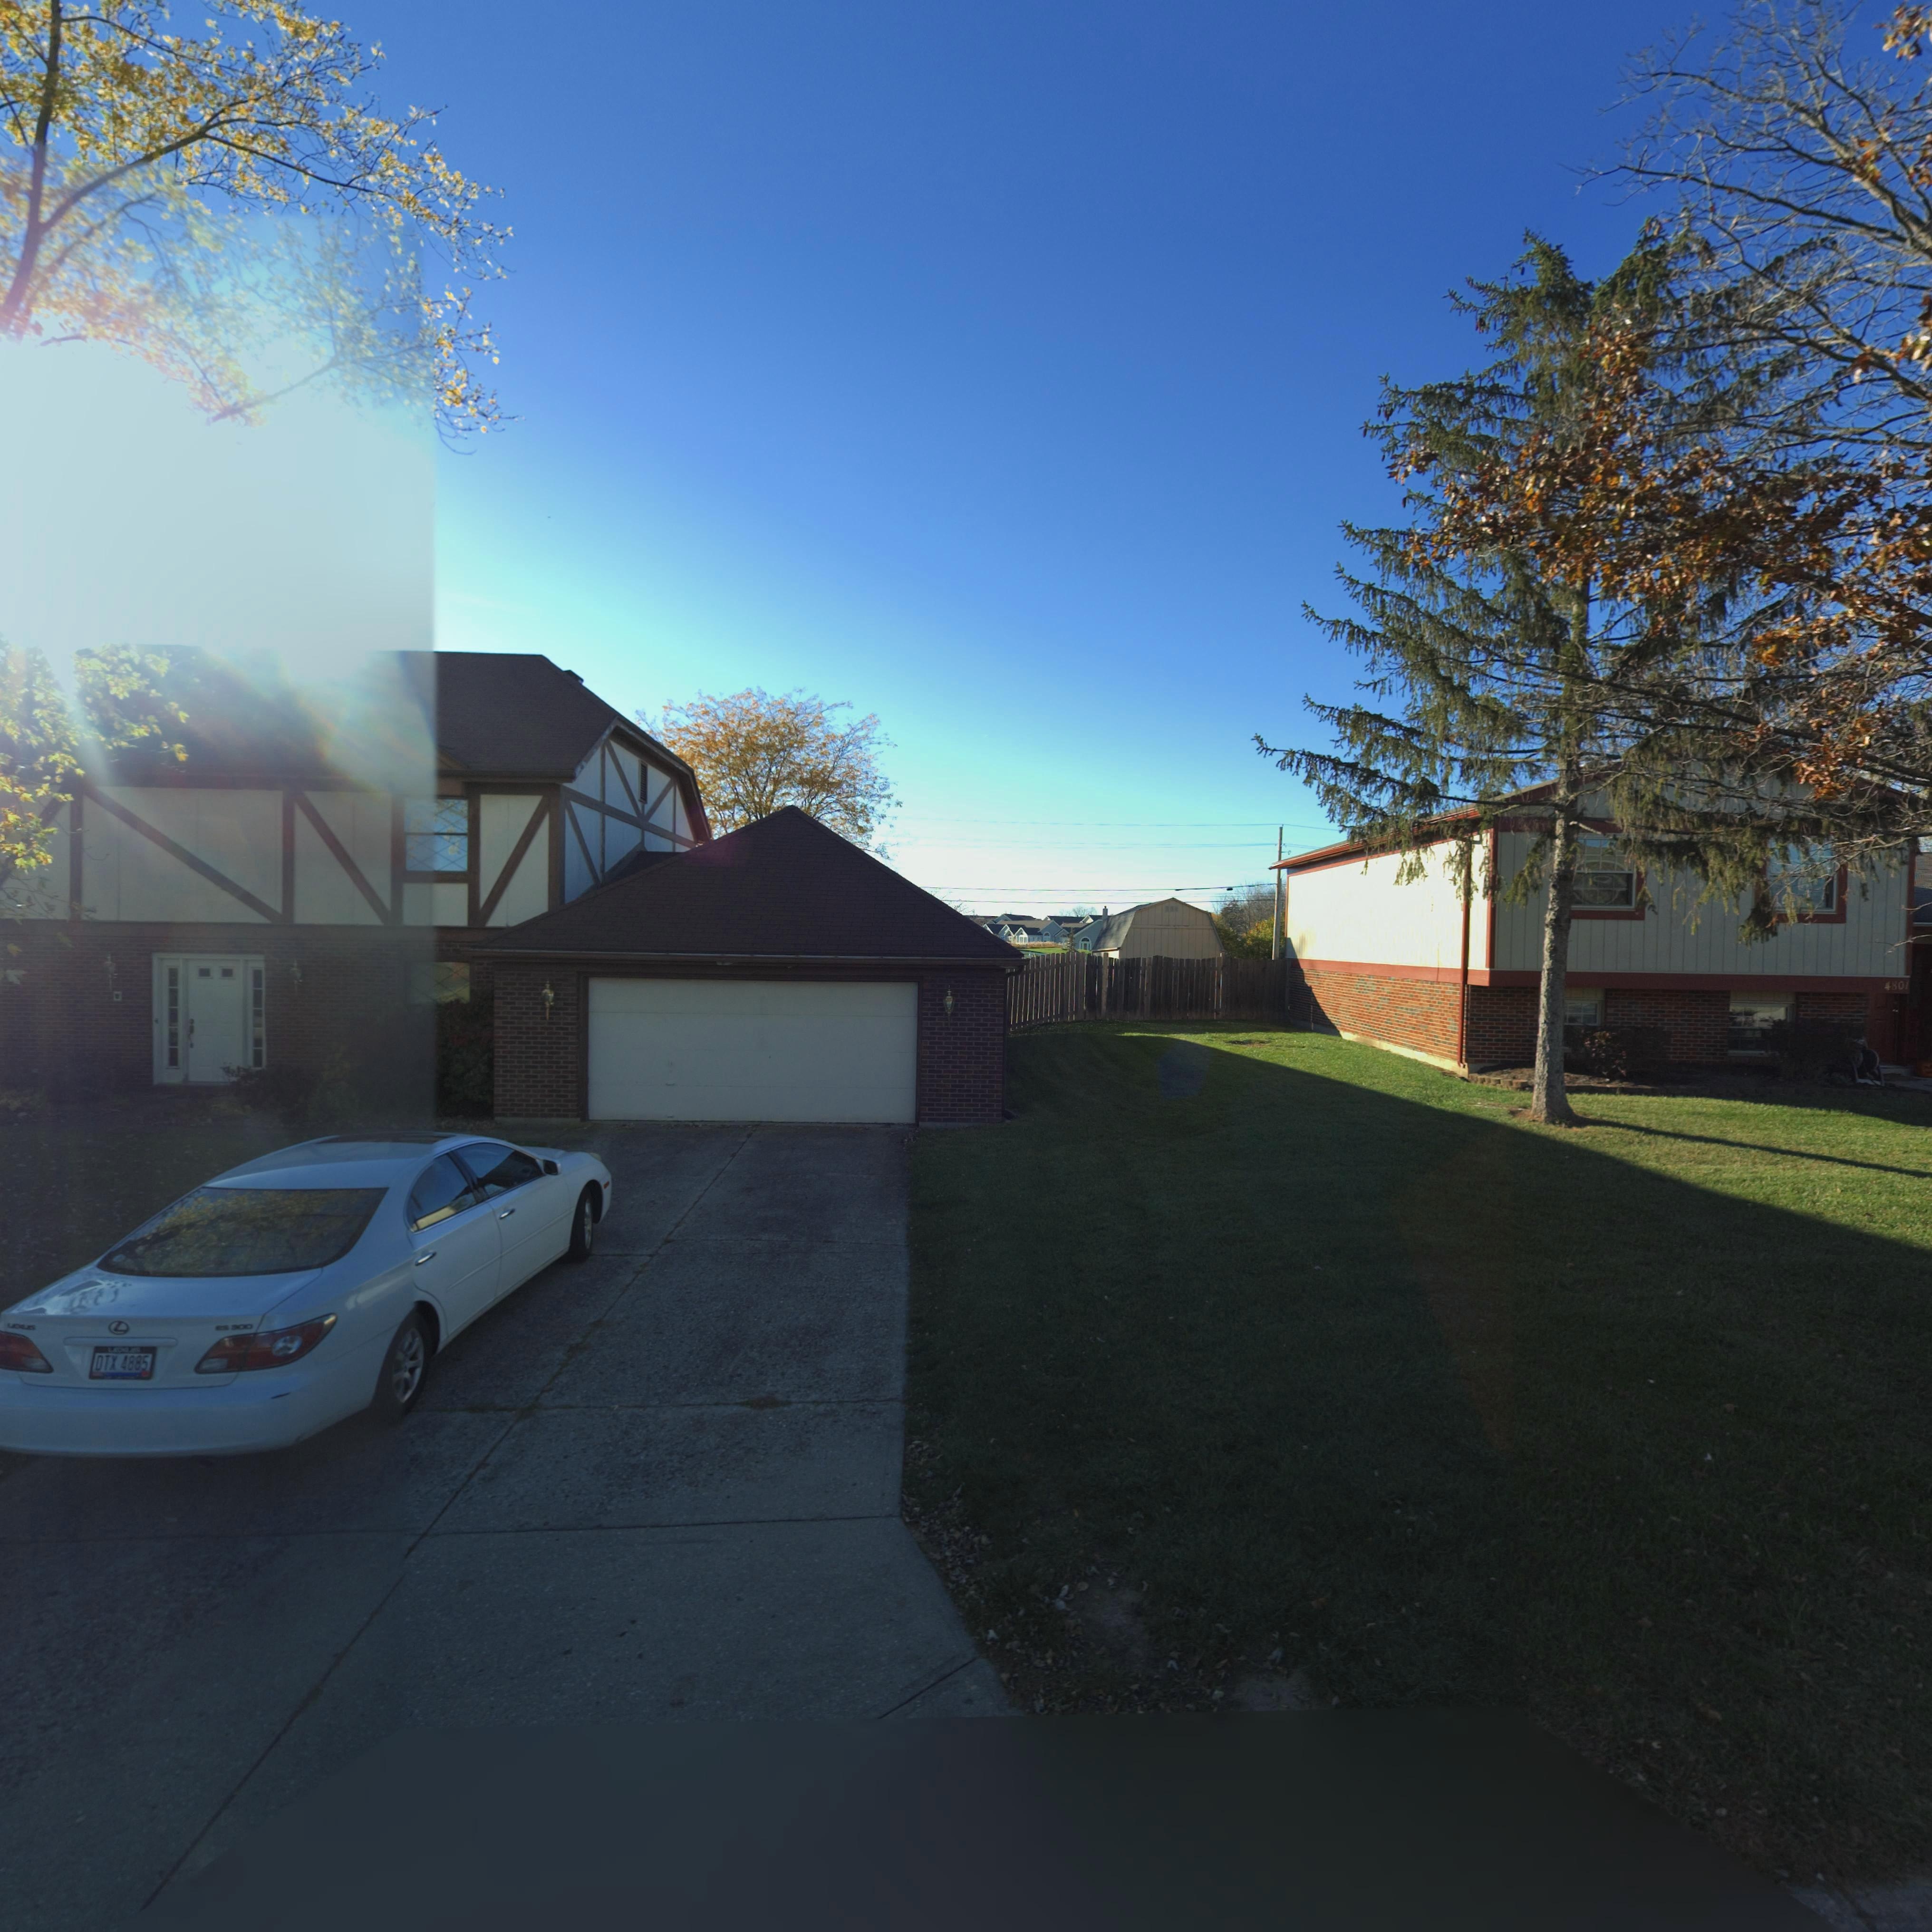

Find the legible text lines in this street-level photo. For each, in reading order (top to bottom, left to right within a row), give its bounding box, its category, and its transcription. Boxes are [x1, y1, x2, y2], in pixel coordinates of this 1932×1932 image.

[1883, 979, 1910, 993] StreetNumber: 4801